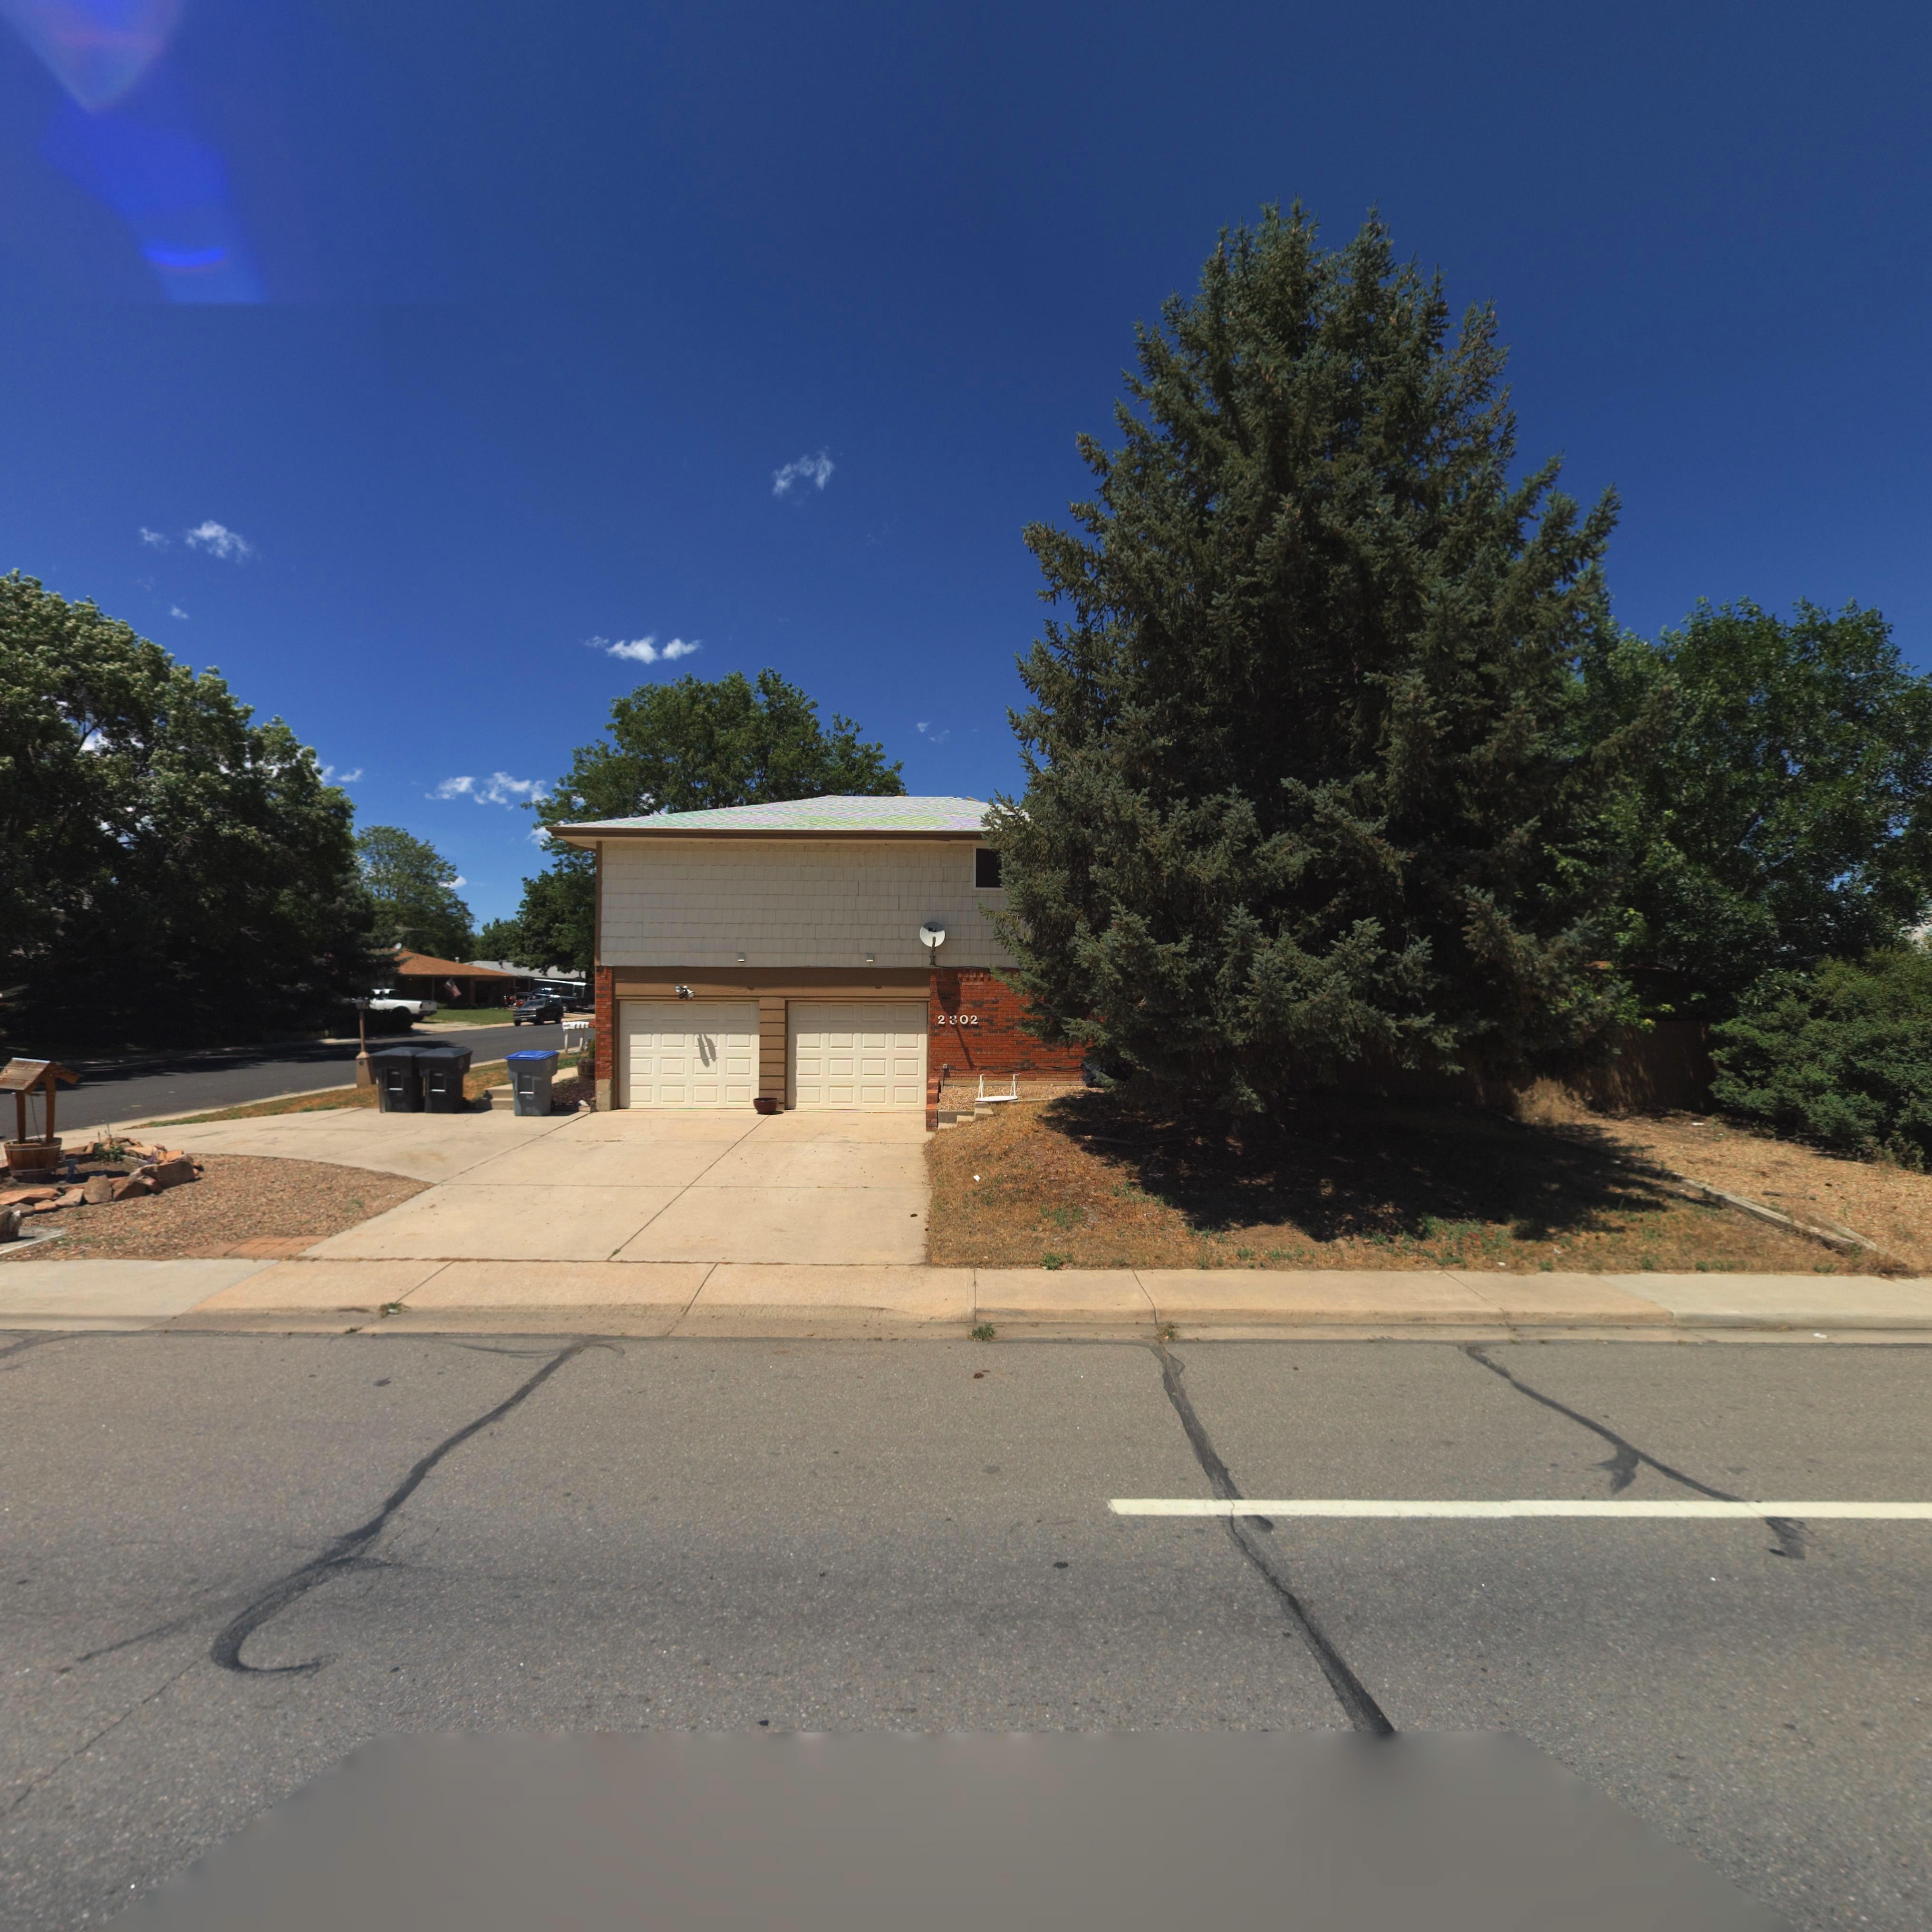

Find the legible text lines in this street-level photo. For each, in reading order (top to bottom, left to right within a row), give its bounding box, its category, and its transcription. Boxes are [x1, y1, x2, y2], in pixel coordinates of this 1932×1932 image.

[937, 1014, 979, 1025] StreetNumber: 2302